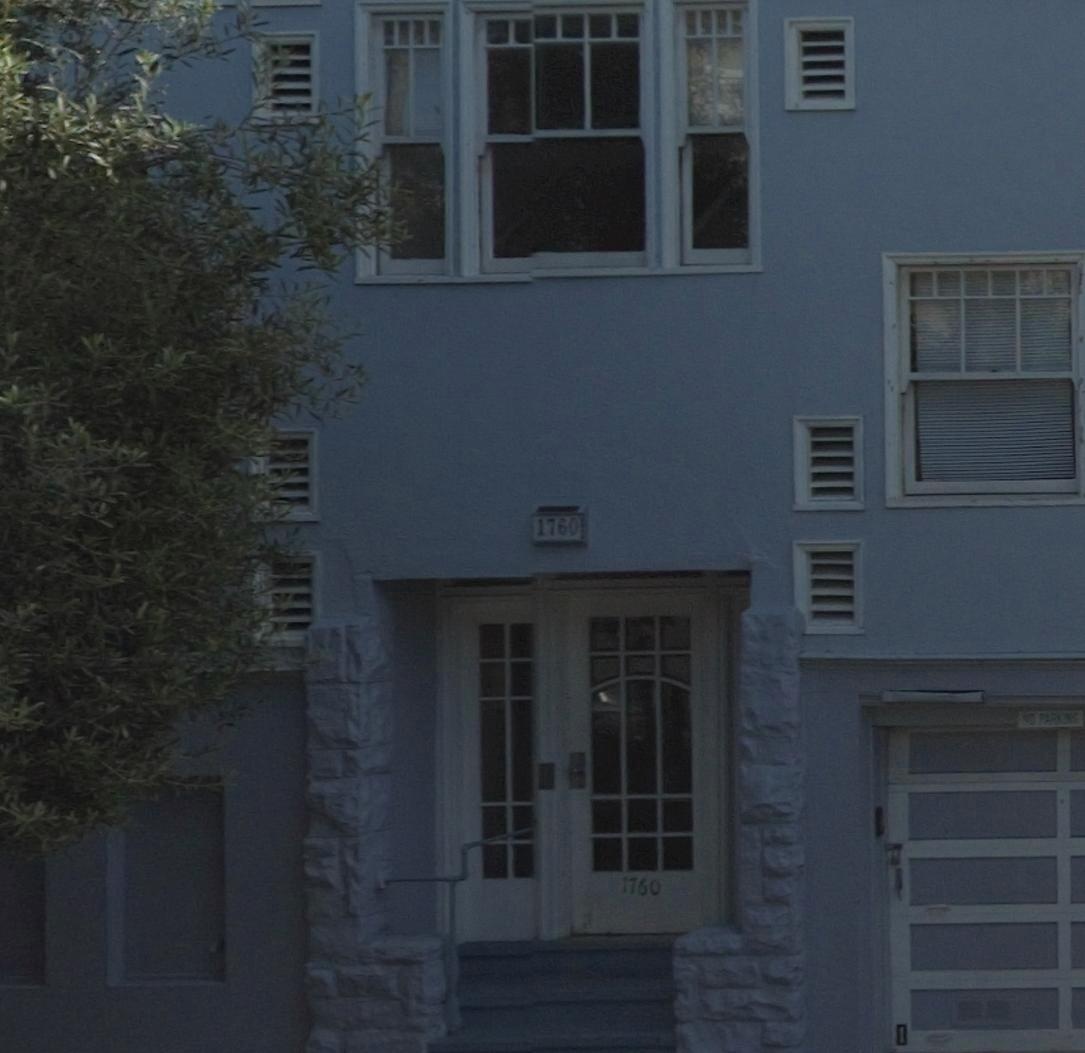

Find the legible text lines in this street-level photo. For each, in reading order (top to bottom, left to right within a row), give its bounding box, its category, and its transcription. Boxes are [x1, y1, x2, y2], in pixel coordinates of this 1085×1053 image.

[535, 515, 580, 538] StreetNumber: 1760
[620, 873, 665, 900] StreetNumber: 1760